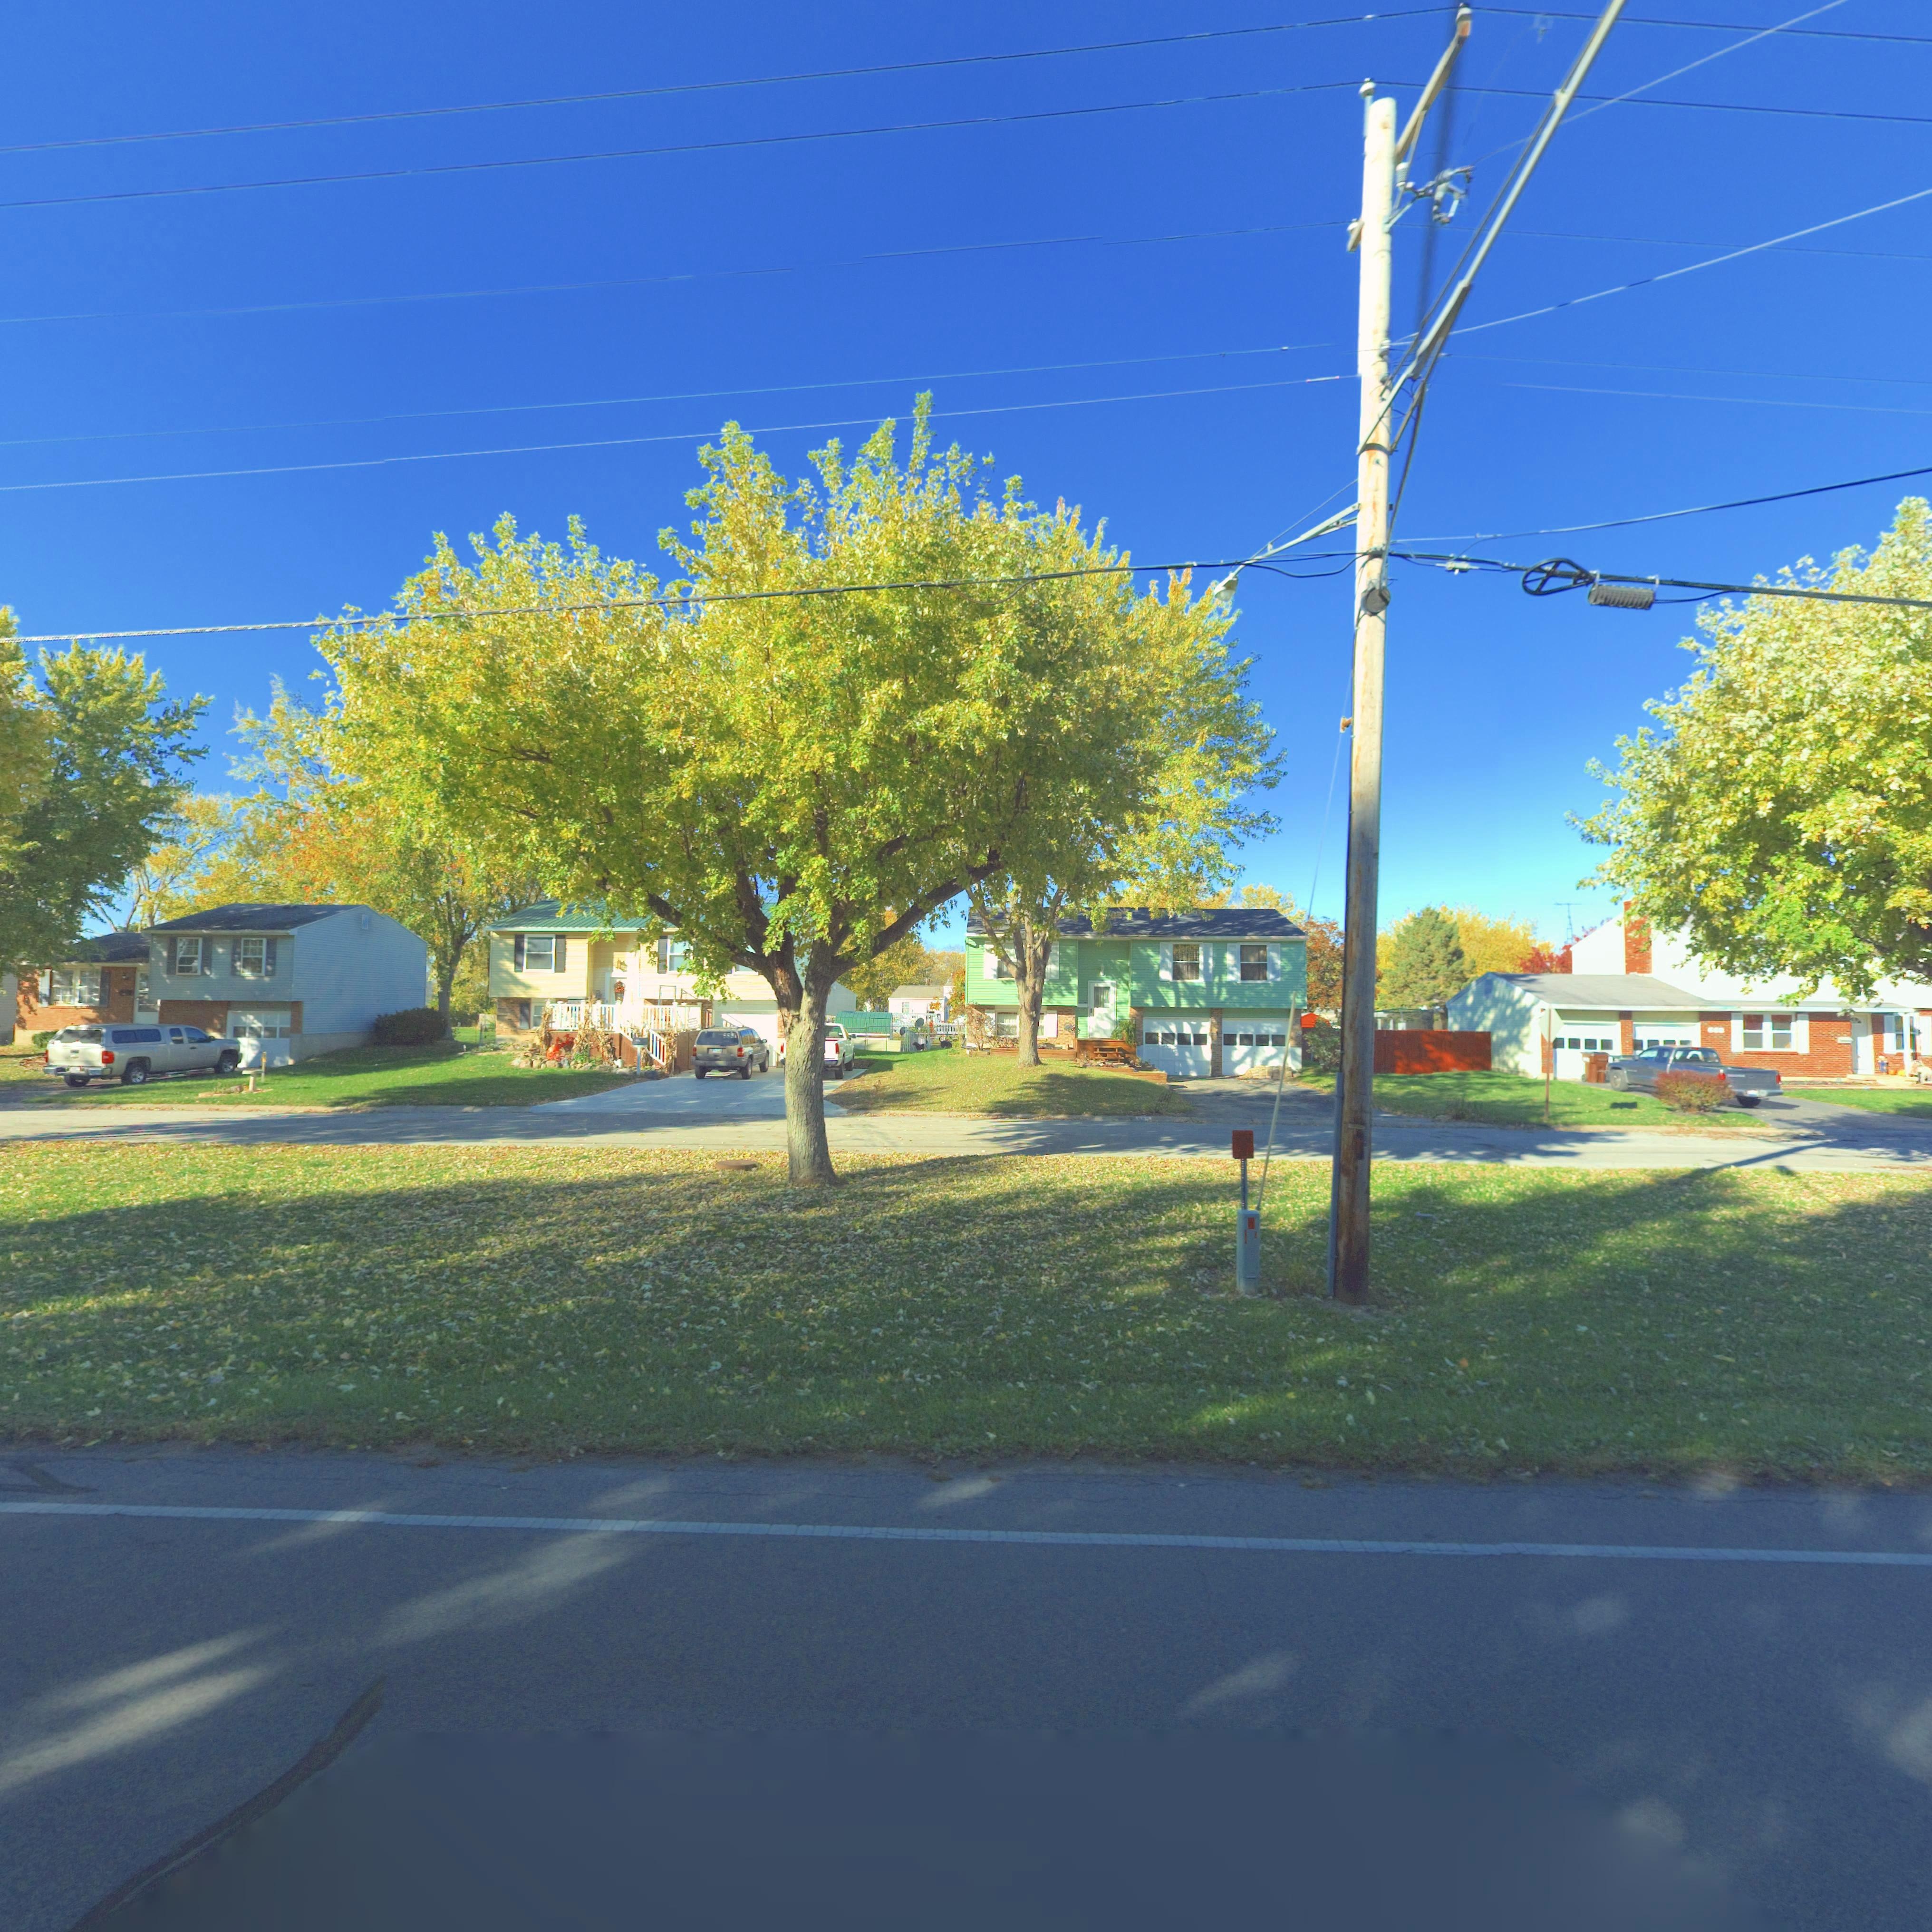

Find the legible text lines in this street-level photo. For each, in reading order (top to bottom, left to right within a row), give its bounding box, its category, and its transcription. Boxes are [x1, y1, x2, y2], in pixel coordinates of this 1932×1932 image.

[1296, 1030, 1301, 1036] StreetNumber: 6